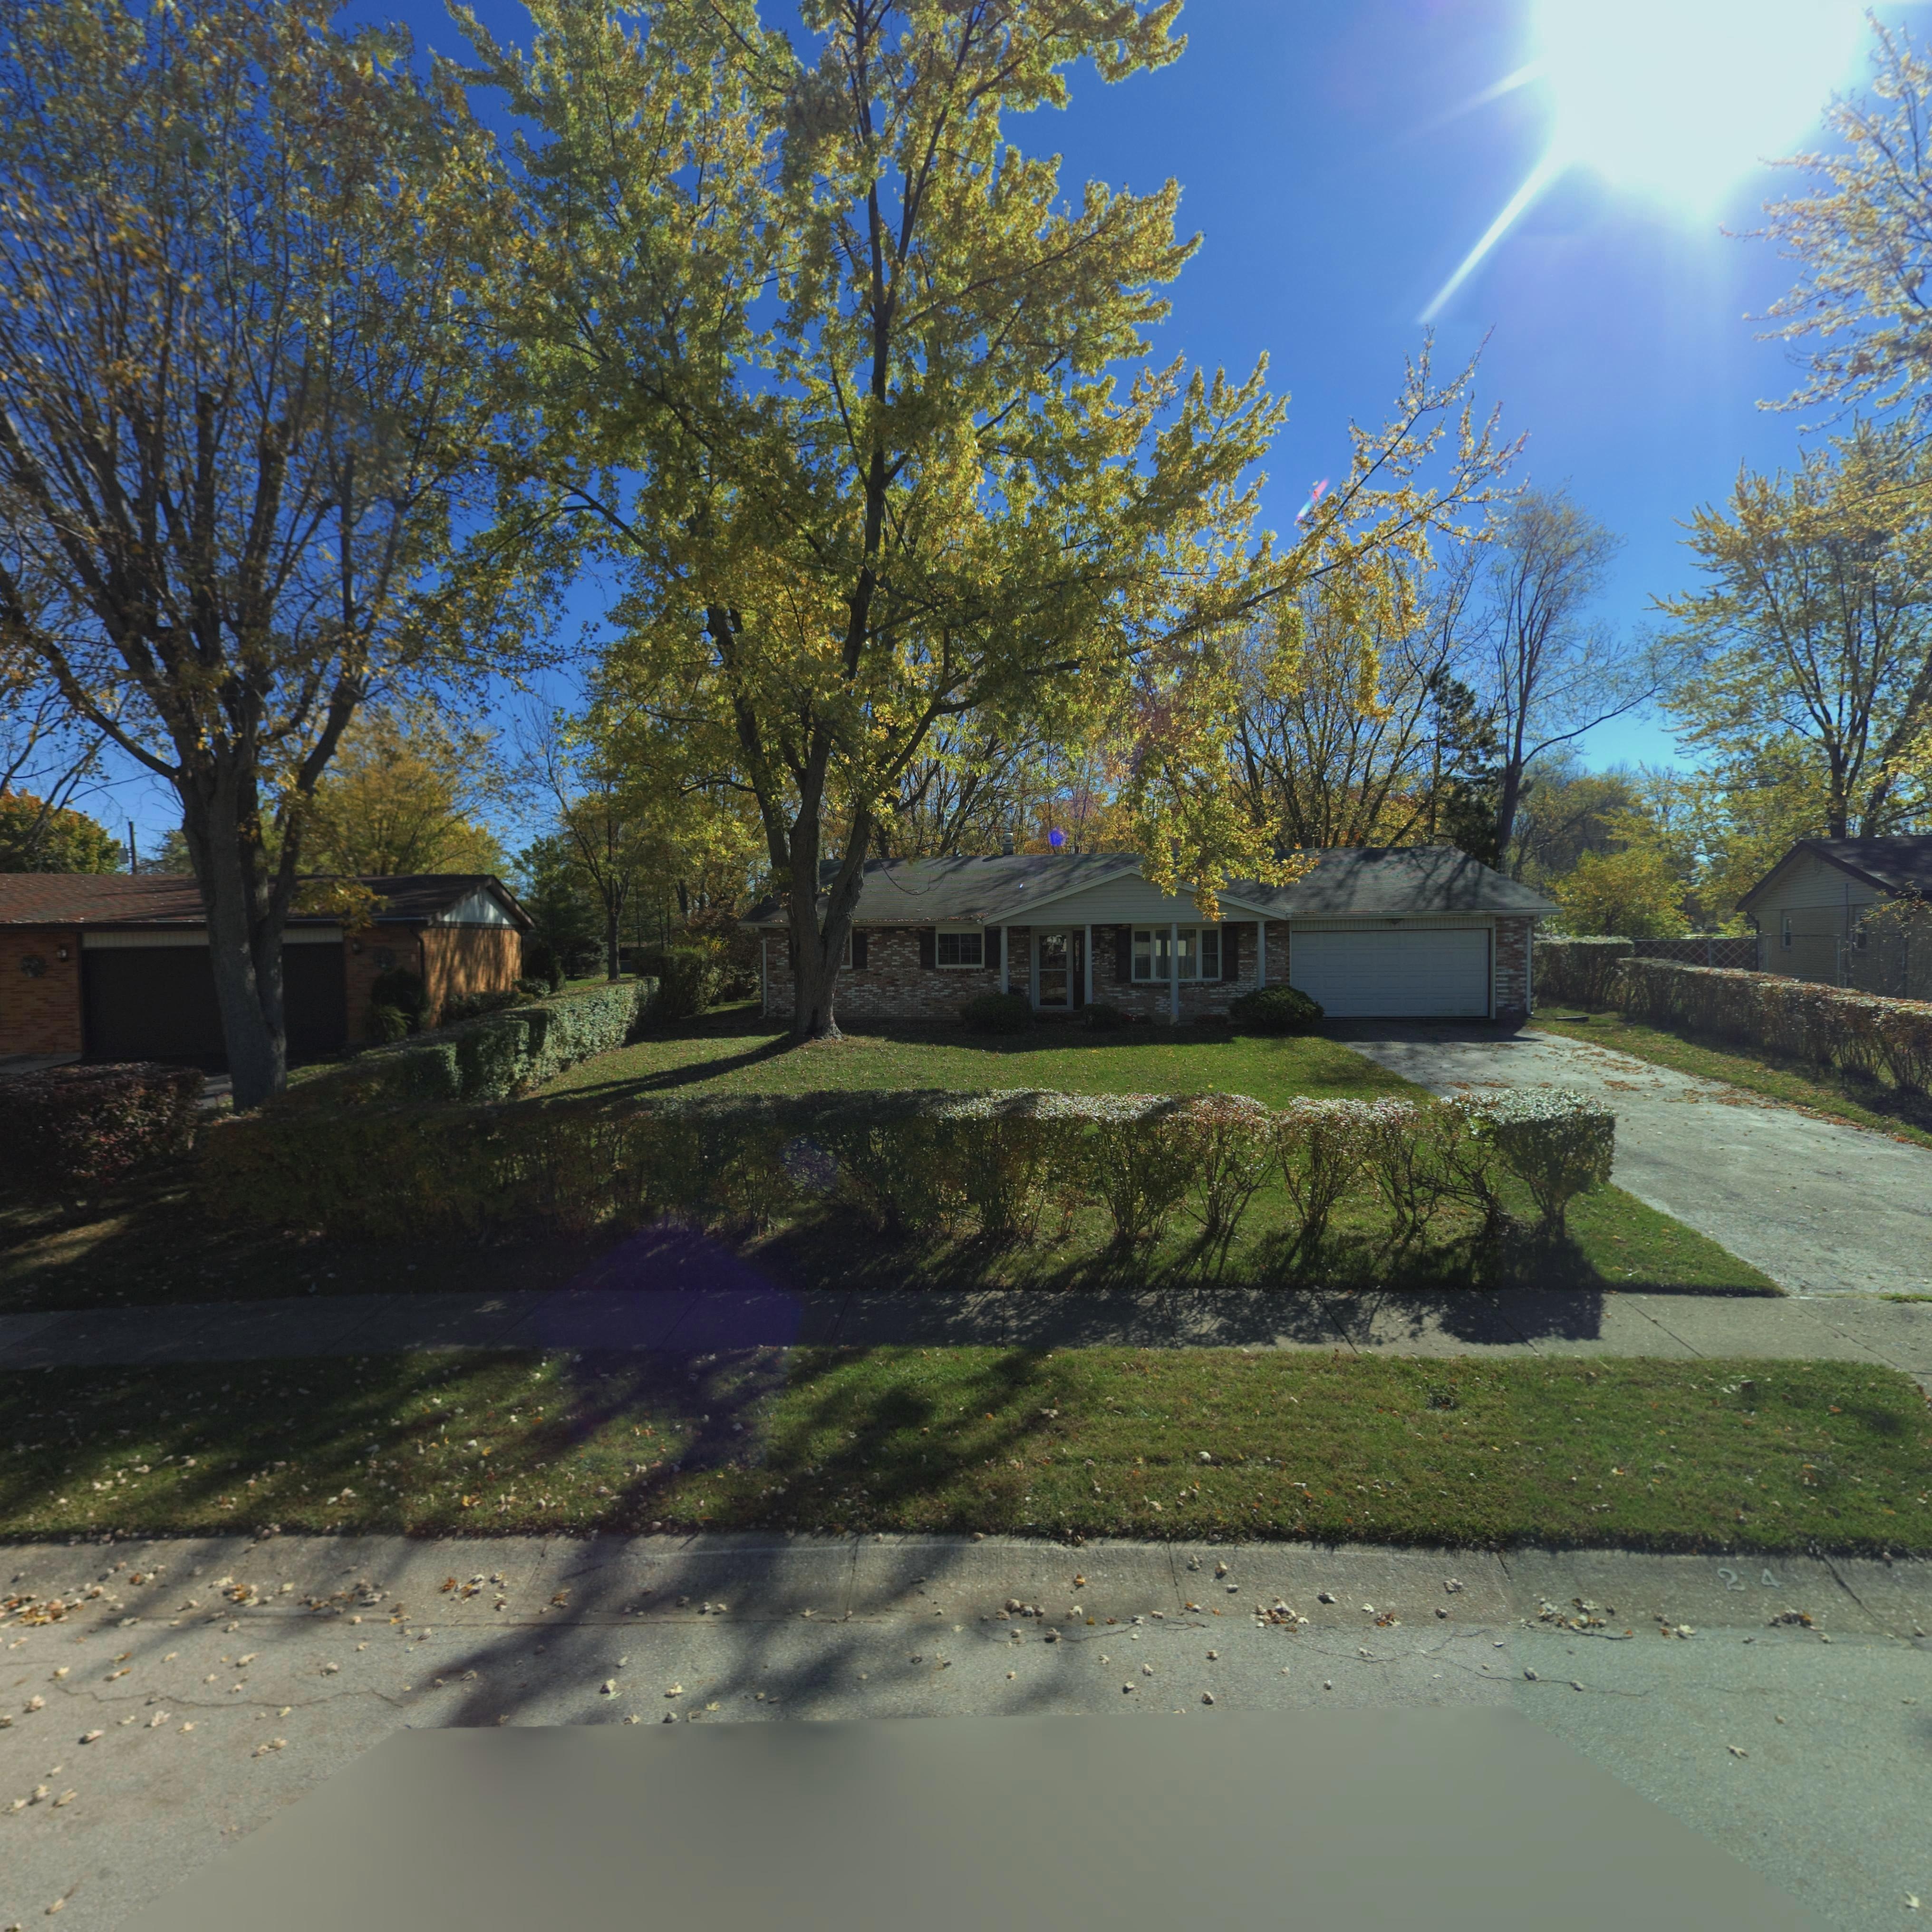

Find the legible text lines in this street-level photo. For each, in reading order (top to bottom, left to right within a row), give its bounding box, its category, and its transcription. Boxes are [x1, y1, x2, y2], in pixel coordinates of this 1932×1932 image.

[1093, 952, 1115, 967] StreetNumber: 214